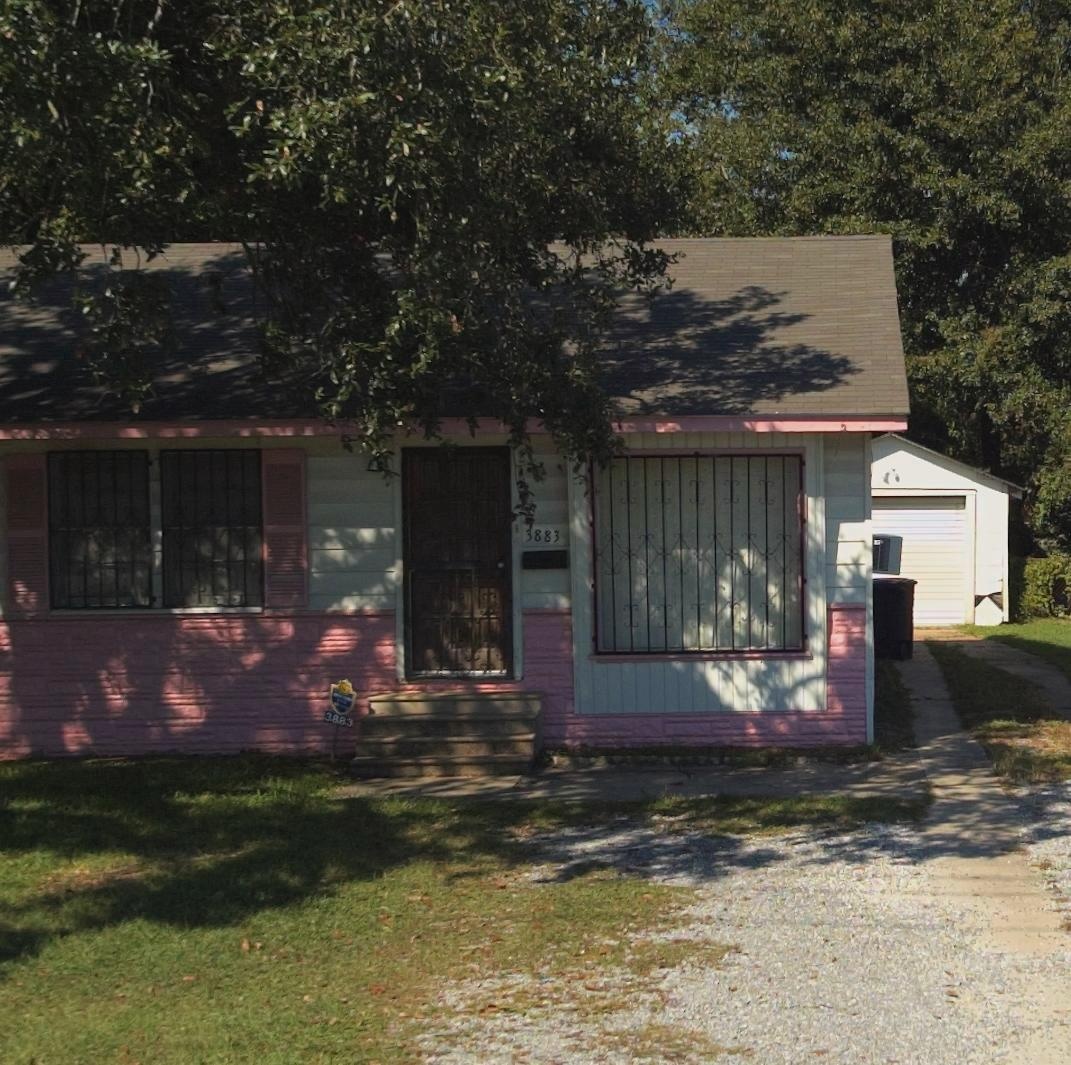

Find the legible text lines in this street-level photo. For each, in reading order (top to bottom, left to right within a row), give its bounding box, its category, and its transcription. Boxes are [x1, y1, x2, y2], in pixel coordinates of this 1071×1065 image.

[523, 527, 561, 544] StreetNumber: 3883
[322, 710, 354, 730] StreetNumber: 3883